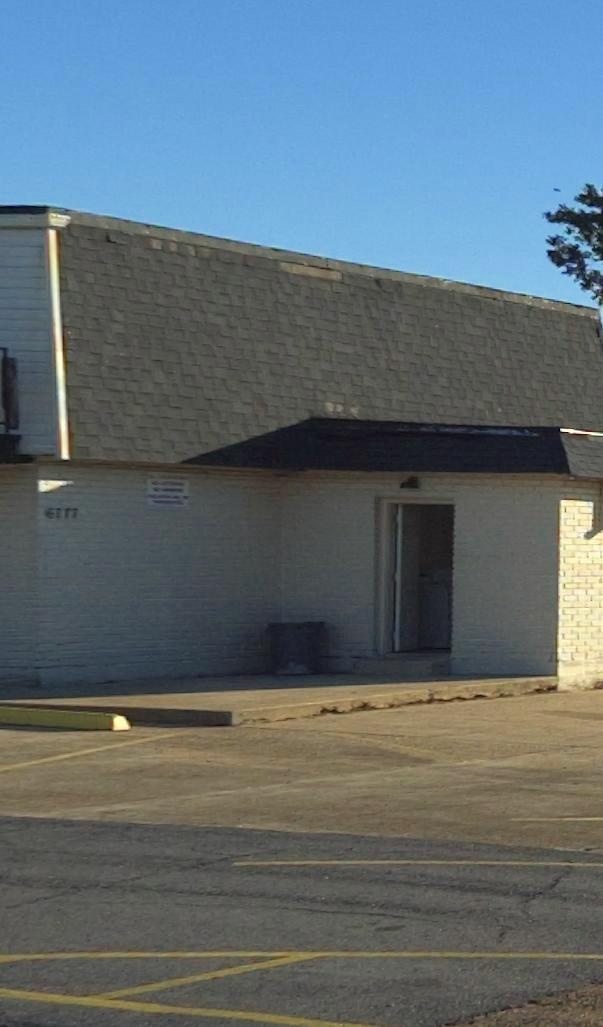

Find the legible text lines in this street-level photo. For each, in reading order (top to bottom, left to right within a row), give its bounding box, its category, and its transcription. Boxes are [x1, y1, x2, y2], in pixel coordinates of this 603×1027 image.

[42, 505, 81, 523] StreetNumber: 6***